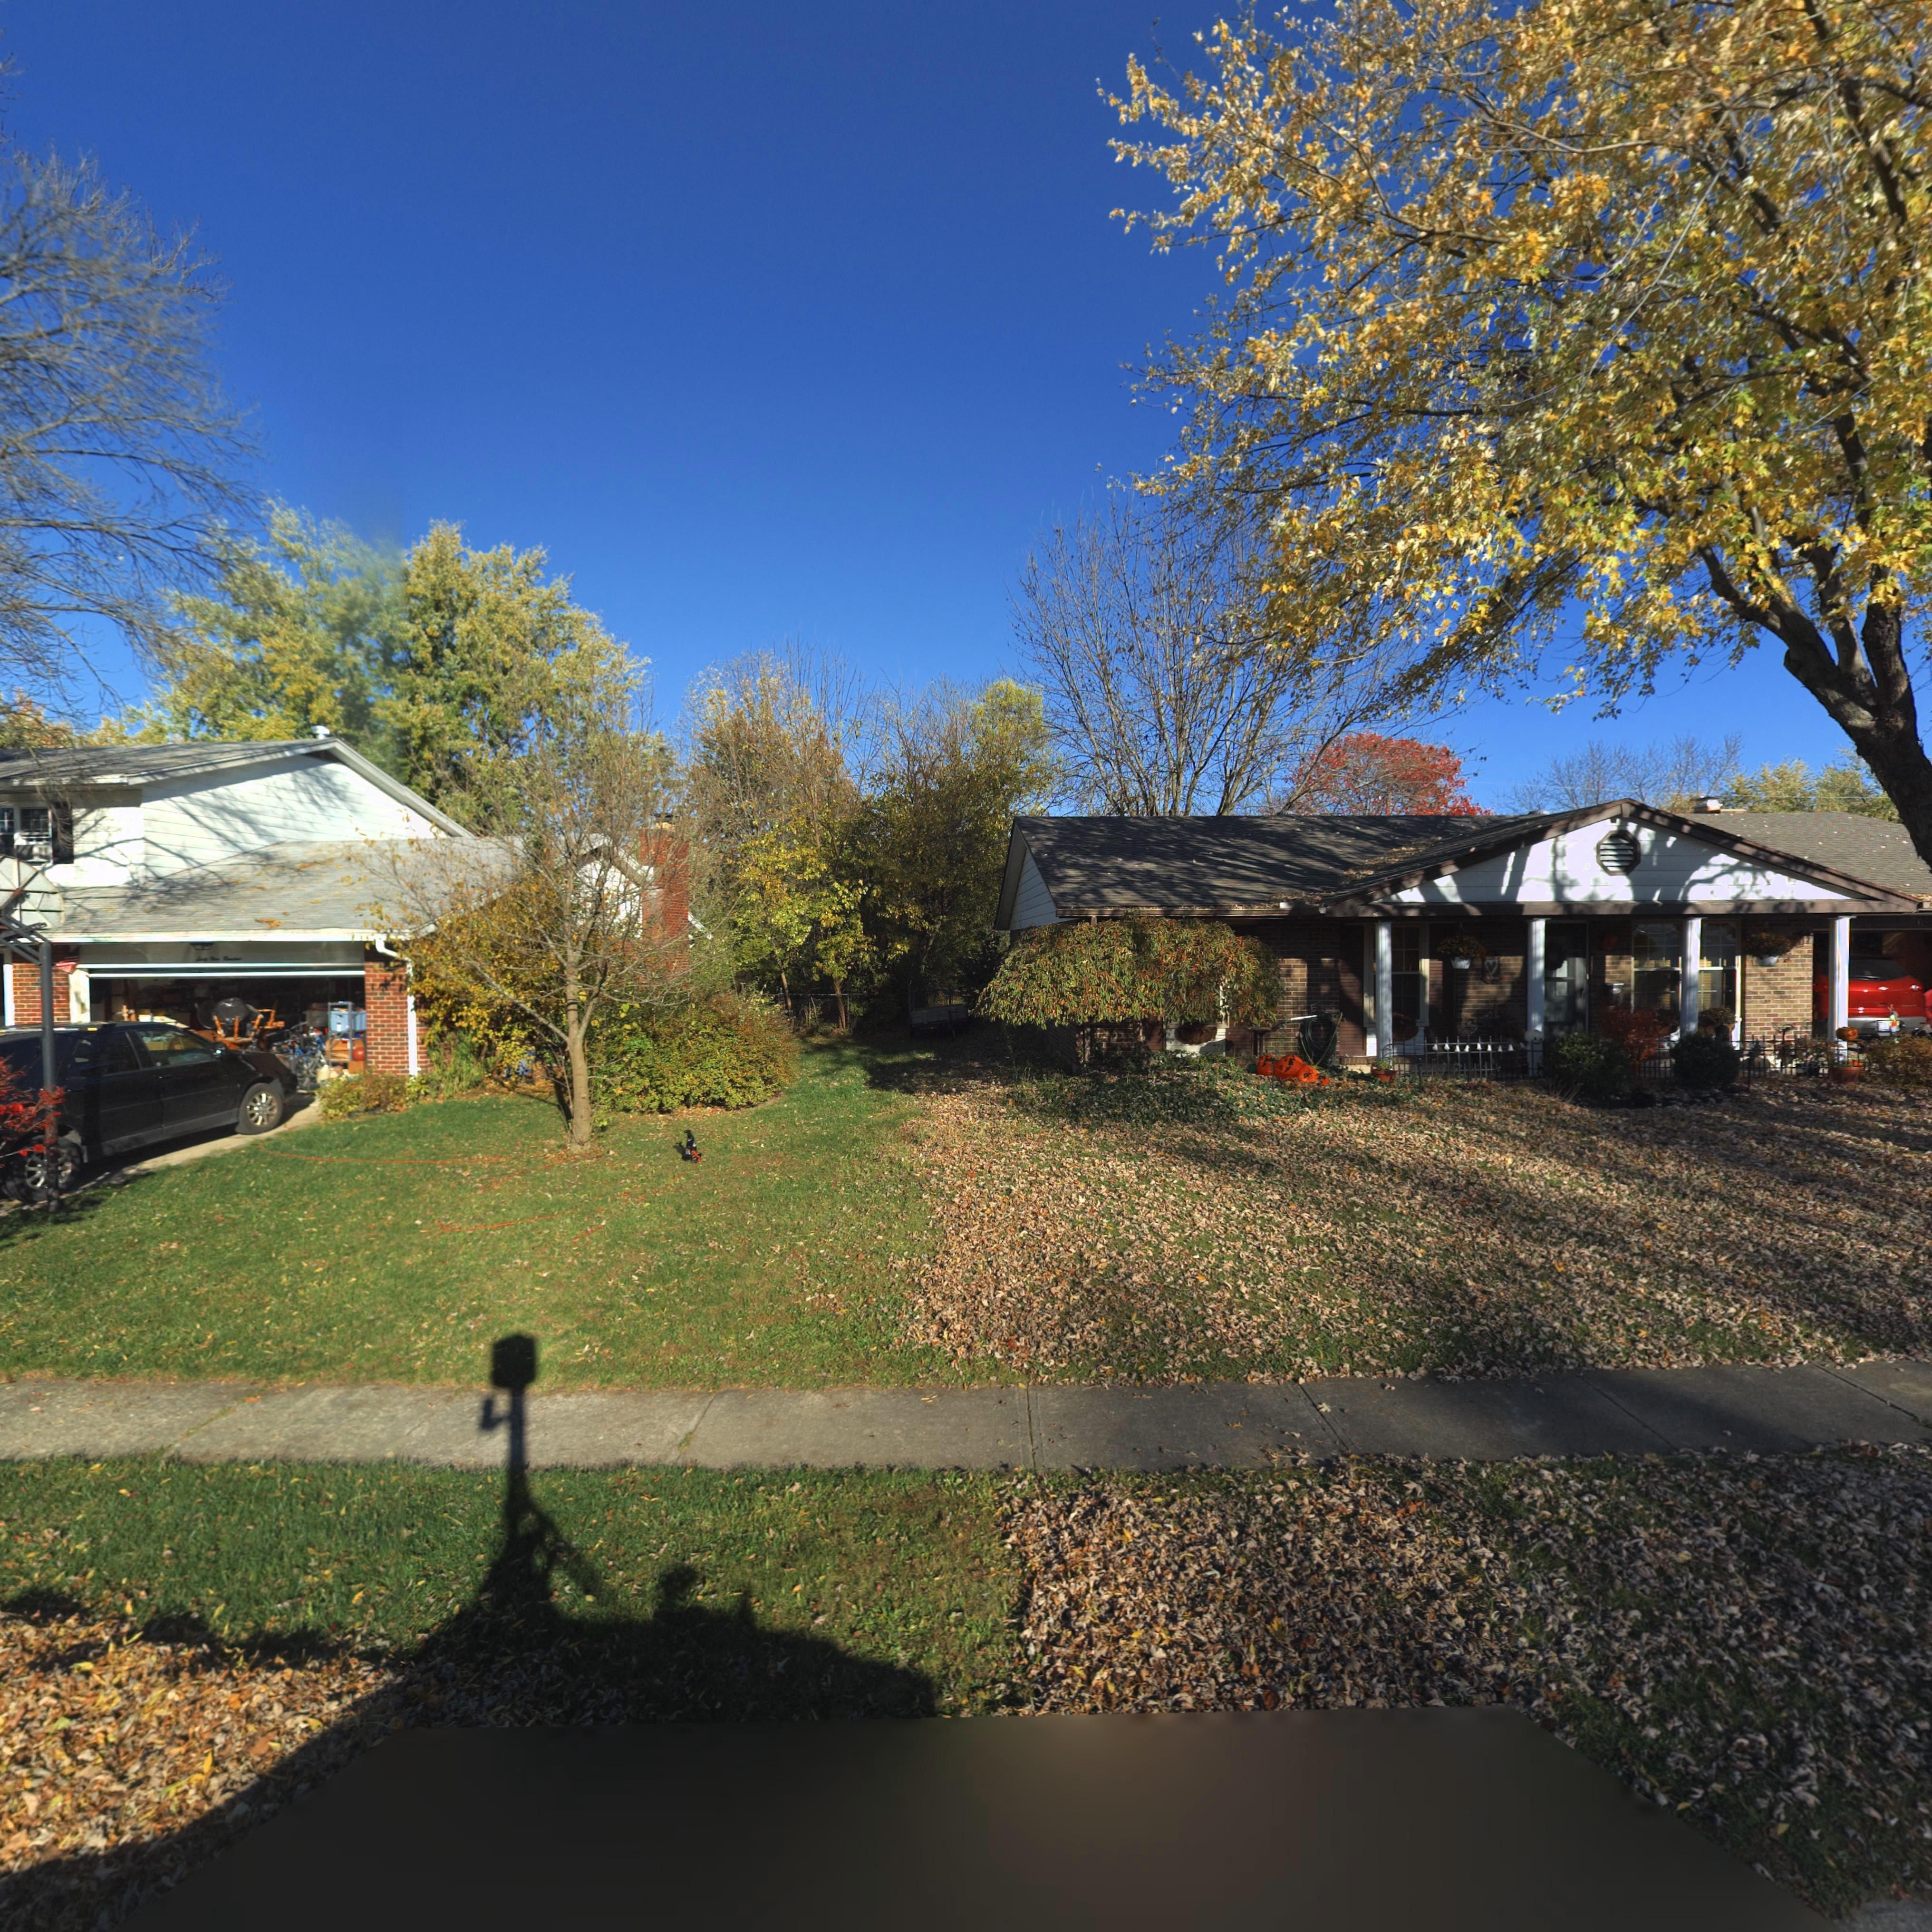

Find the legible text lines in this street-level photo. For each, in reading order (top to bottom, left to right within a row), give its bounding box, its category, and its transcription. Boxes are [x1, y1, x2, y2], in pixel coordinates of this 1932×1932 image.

[1917, 918, 1924, 928] StreetNumber: 6